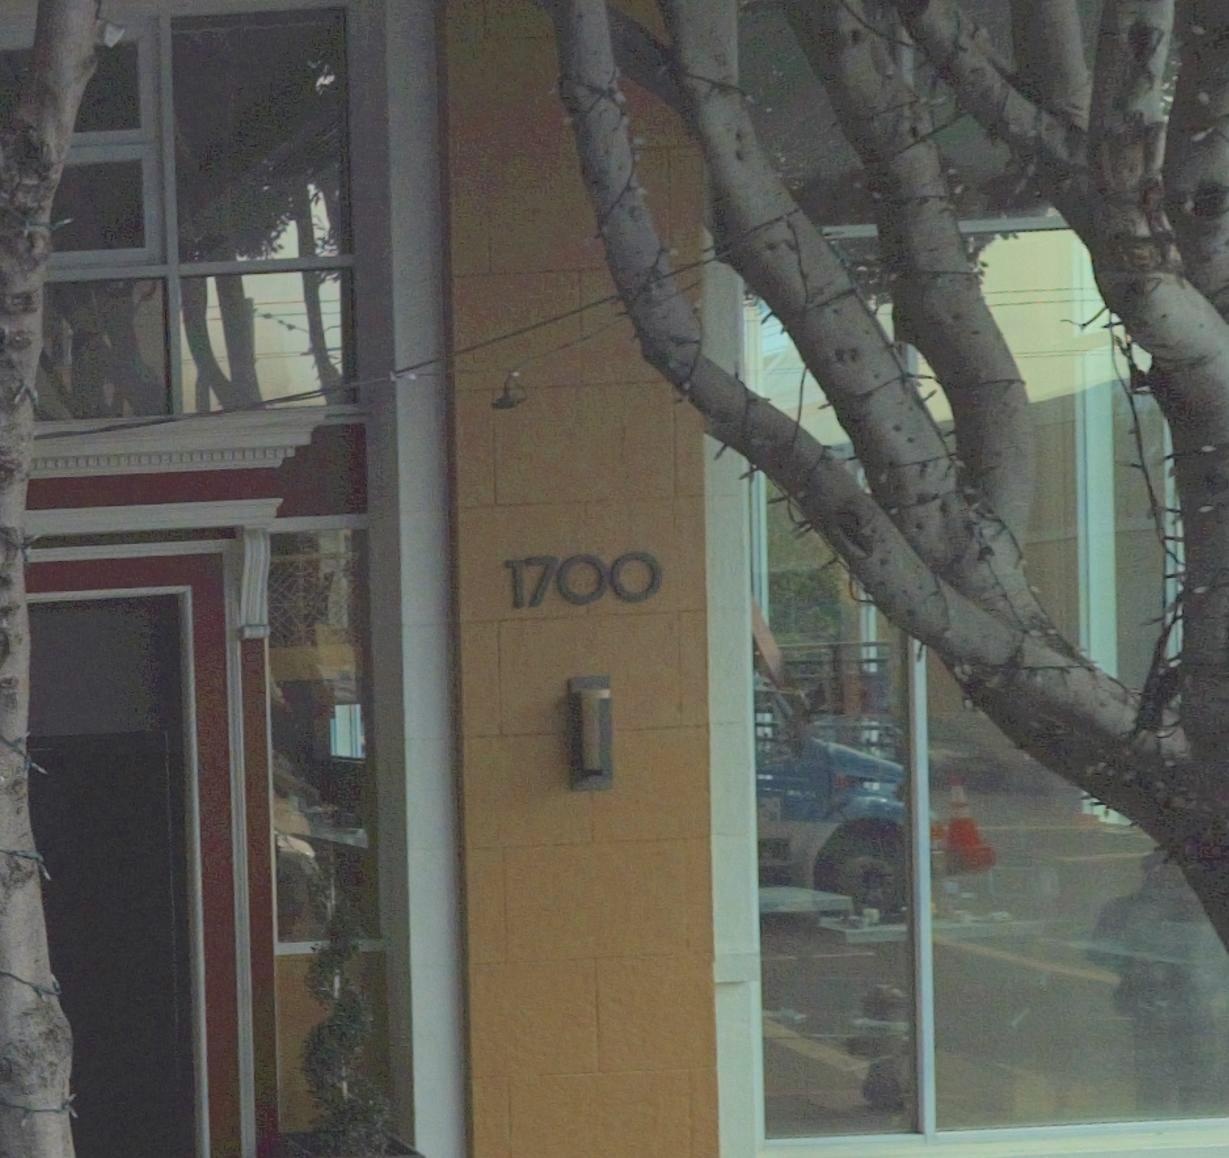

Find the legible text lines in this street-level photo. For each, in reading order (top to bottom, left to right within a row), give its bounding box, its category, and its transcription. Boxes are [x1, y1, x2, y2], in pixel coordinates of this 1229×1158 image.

[504, 548, 666, 611] StreetNumber: 1700